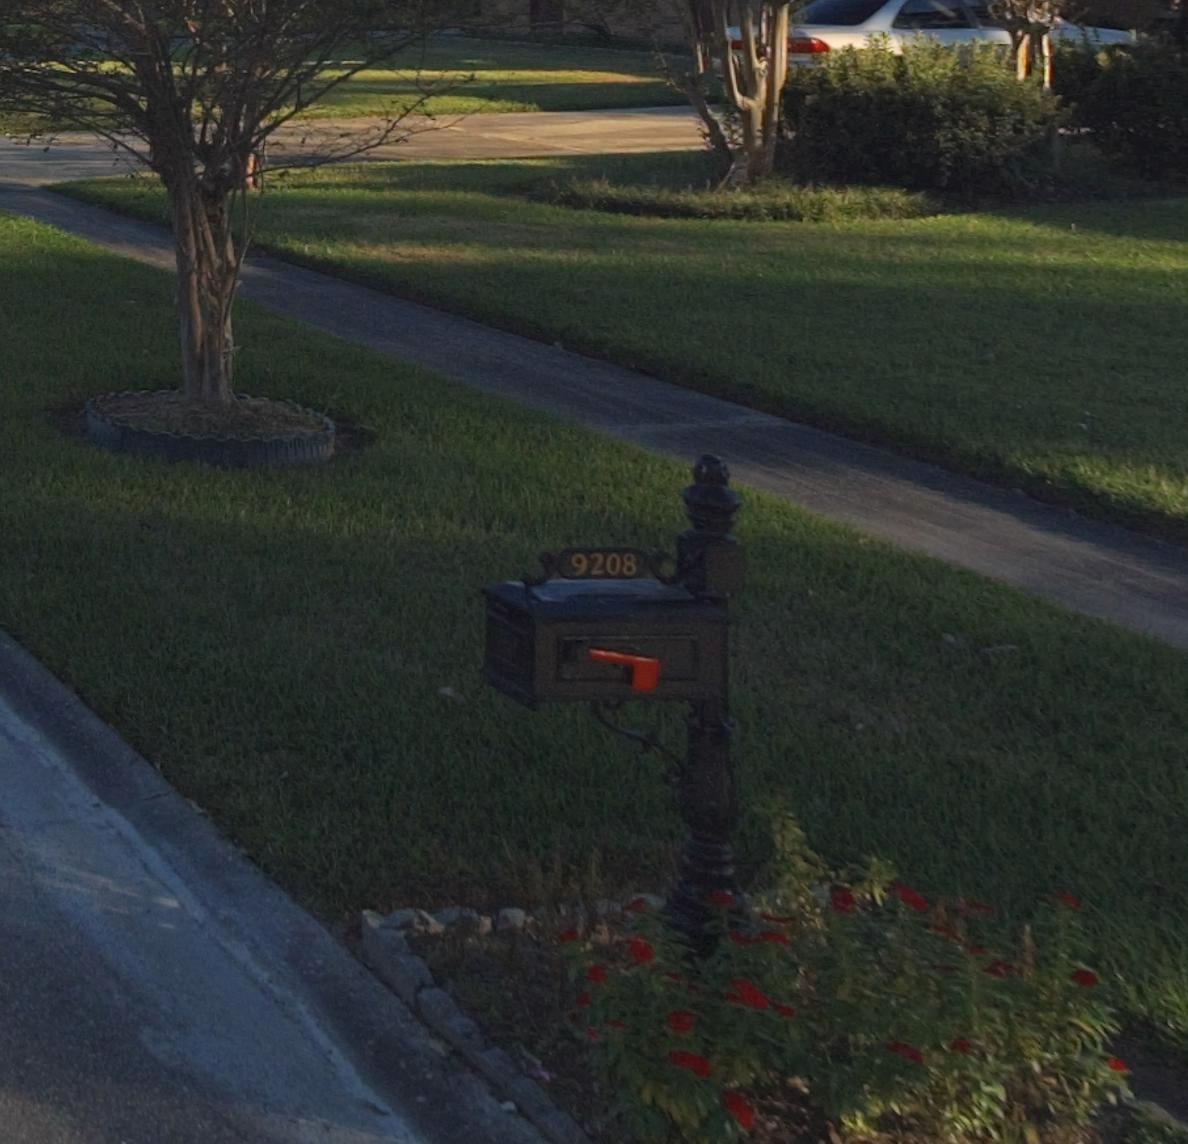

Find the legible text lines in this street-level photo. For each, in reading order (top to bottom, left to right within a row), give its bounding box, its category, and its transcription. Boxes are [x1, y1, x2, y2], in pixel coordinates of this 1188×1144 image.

[570, 551, 638, 577] StreetNumber: 9208